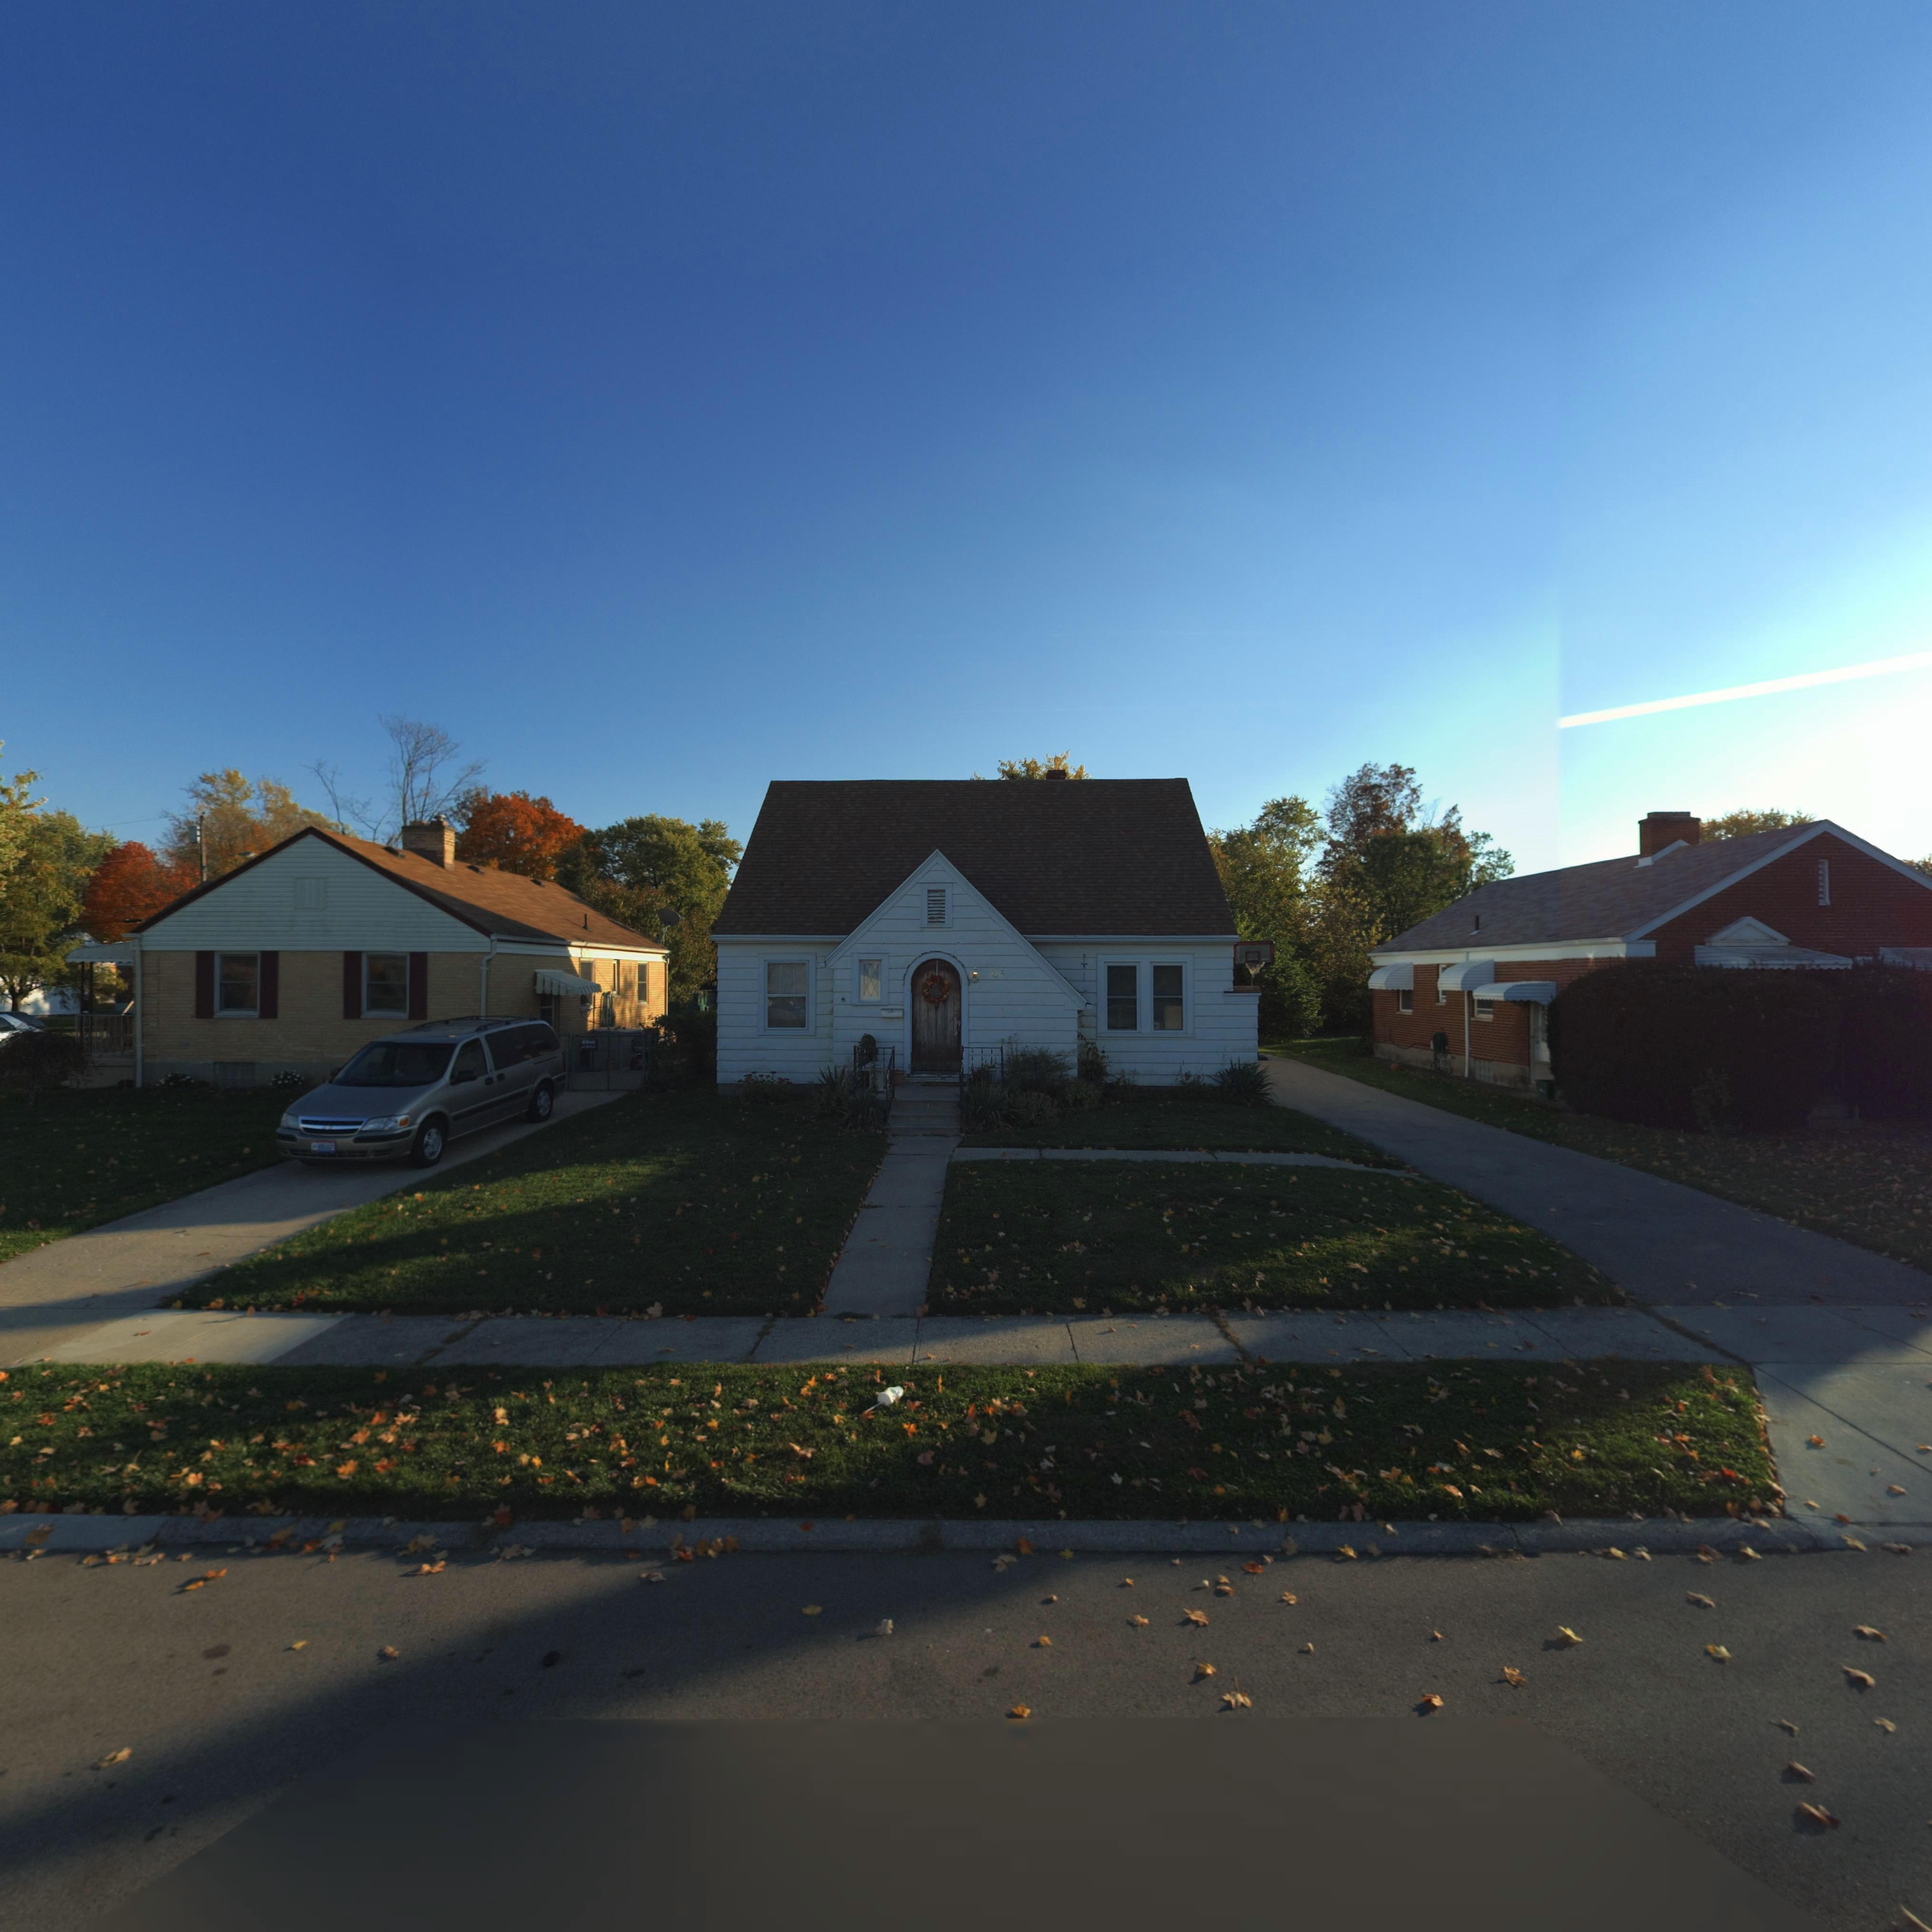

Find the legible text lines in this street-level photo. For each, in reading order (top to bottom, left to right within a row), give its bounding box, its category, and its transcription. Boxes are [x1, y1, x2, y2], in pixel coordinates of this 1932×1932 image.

[988, 969, 1005, 978] StreetNumber: 216